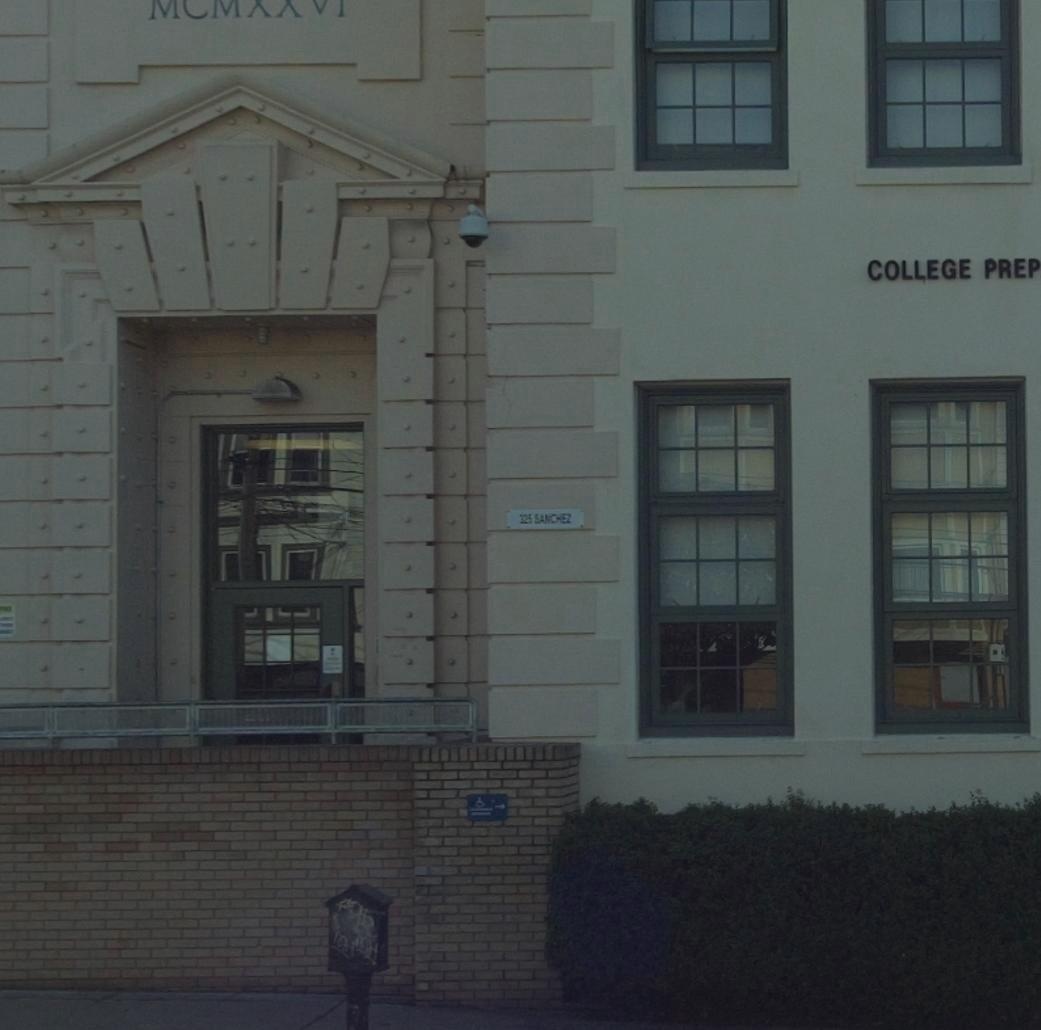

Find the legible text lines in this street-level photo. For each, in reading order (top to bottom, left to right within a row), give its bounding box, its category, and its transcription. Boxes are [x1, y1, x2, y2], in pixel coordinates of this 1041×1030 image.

[866, 256, 1041, 282] None: COLLEGE PREP
[517, 512, 532, 527] StreetNumber: 325
[533, 511, 571, 524] StreetName: SANCHEZ